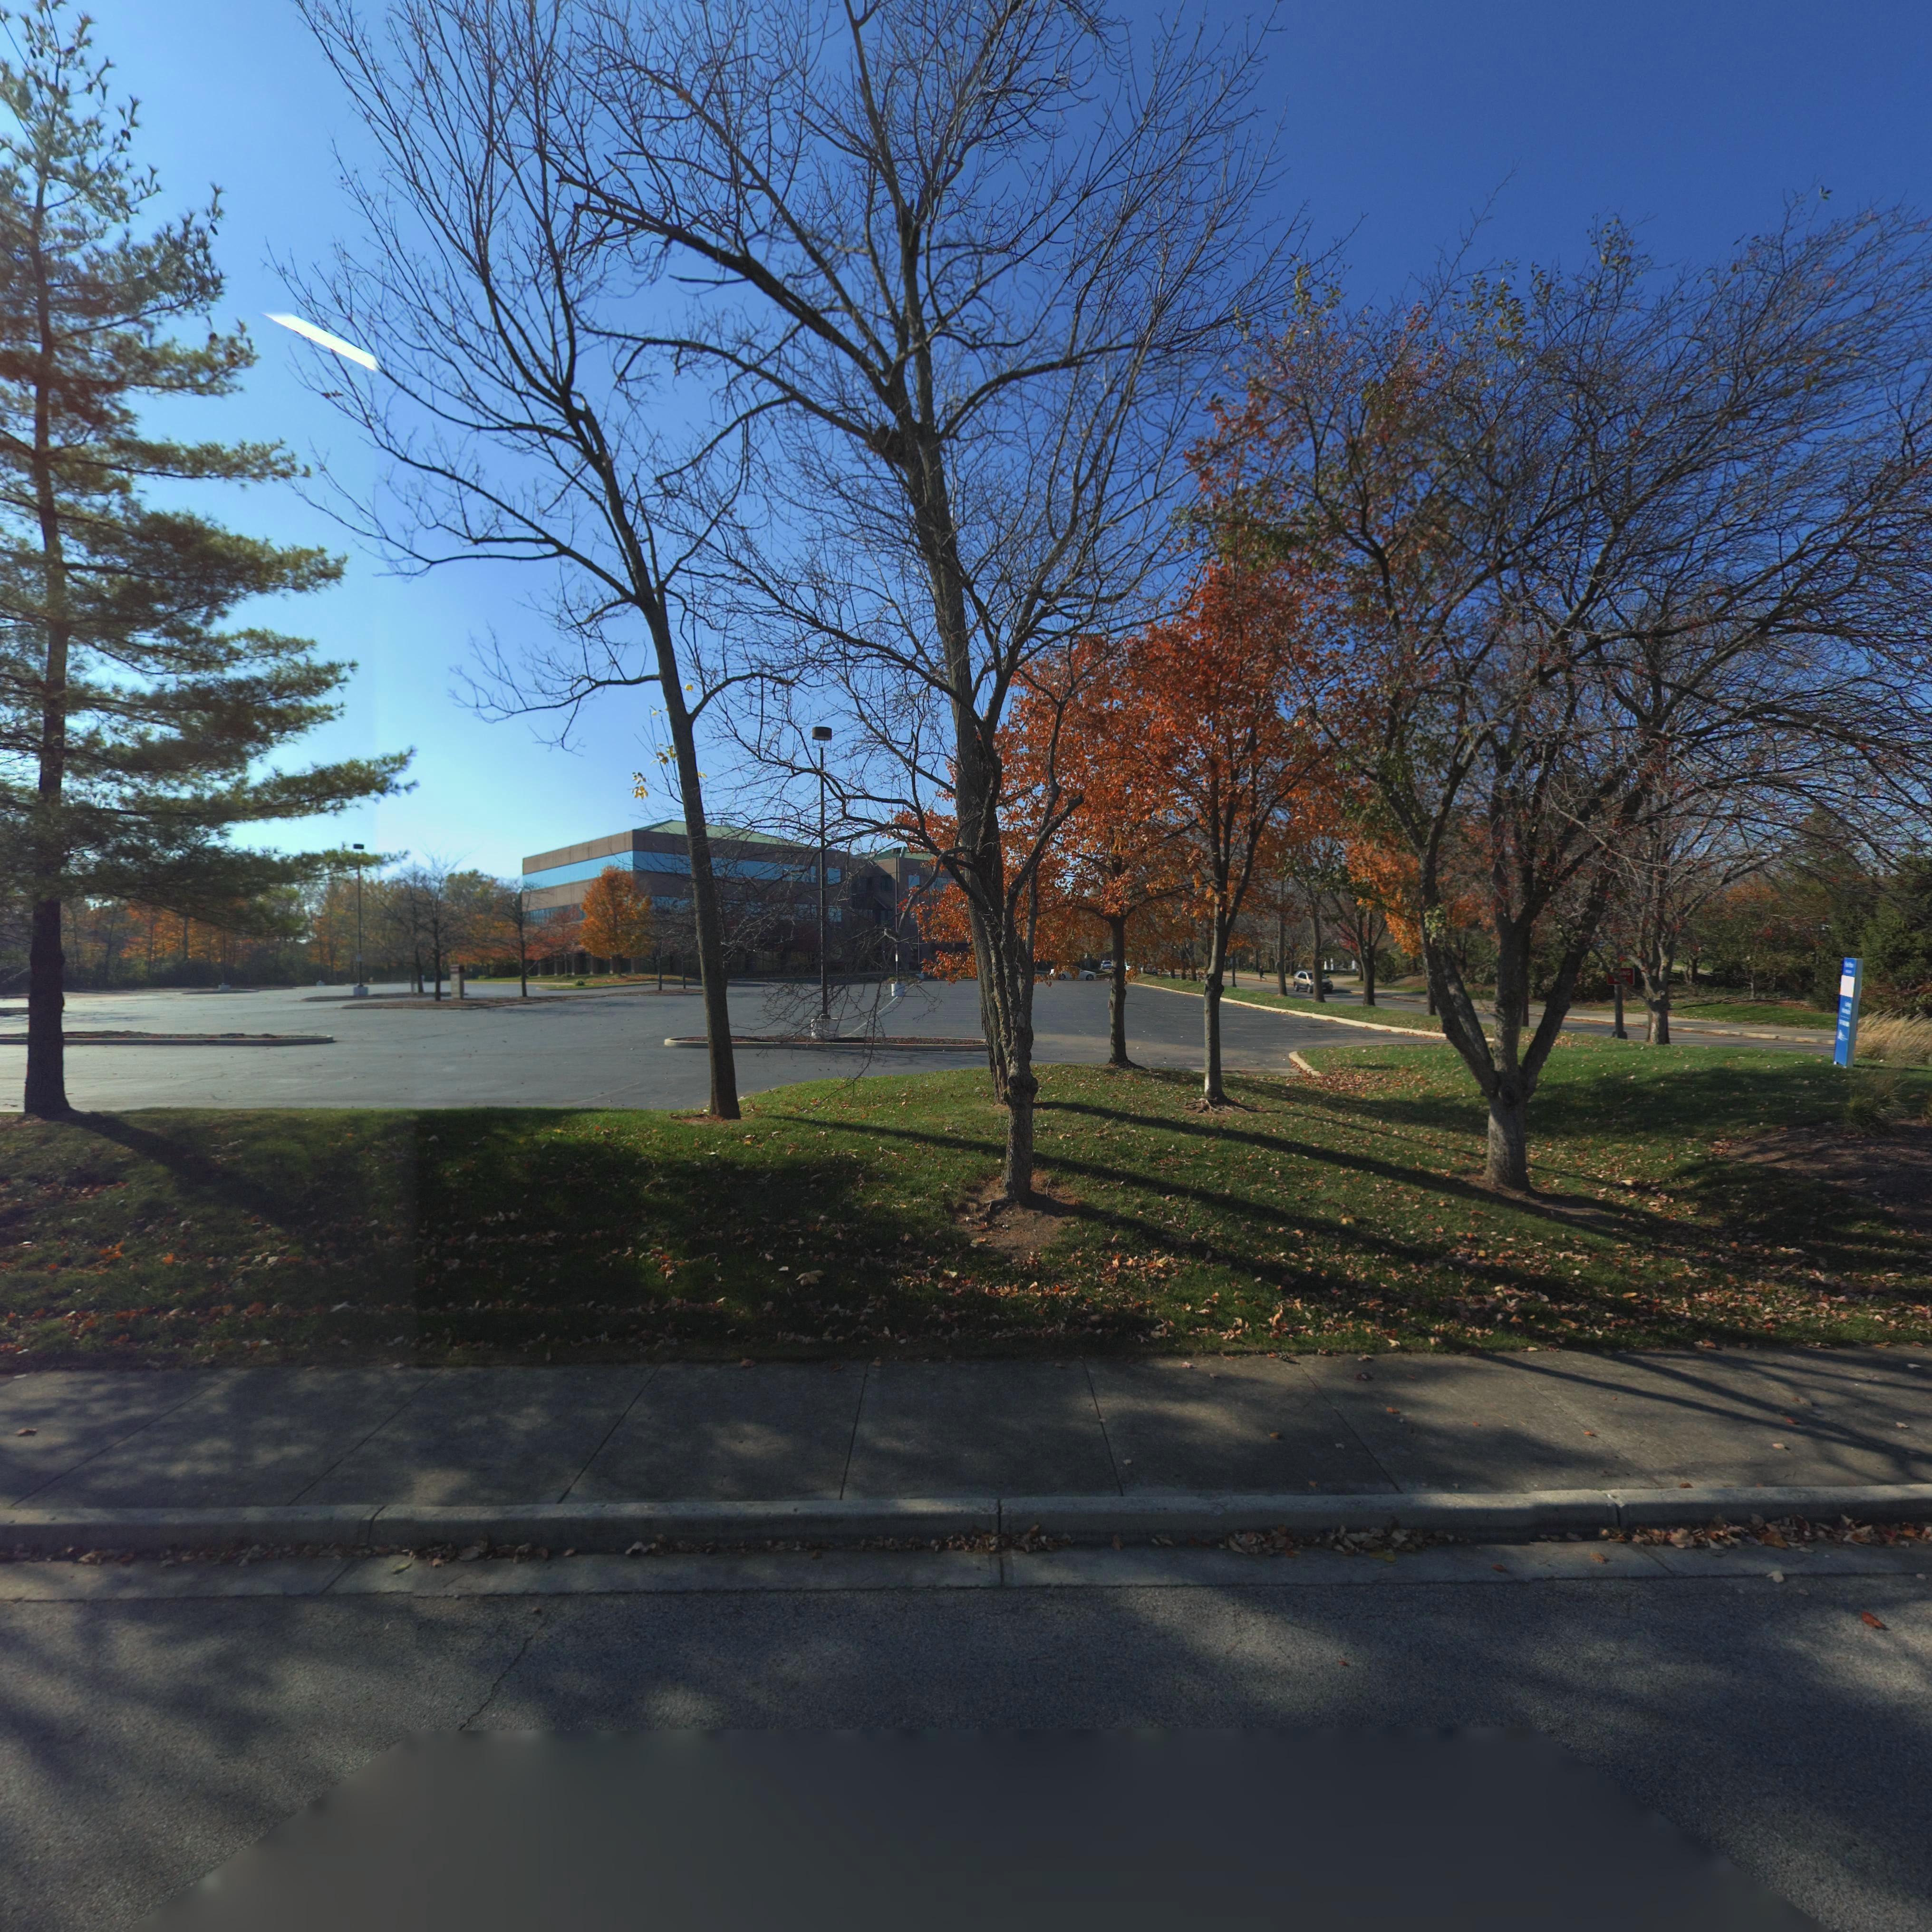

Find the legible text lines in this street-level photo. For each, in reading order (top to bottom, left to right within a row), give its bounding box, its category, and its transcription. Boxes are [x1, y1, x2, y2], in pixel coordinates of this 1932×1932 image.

[1622, 970, 1631, 976] None: NG